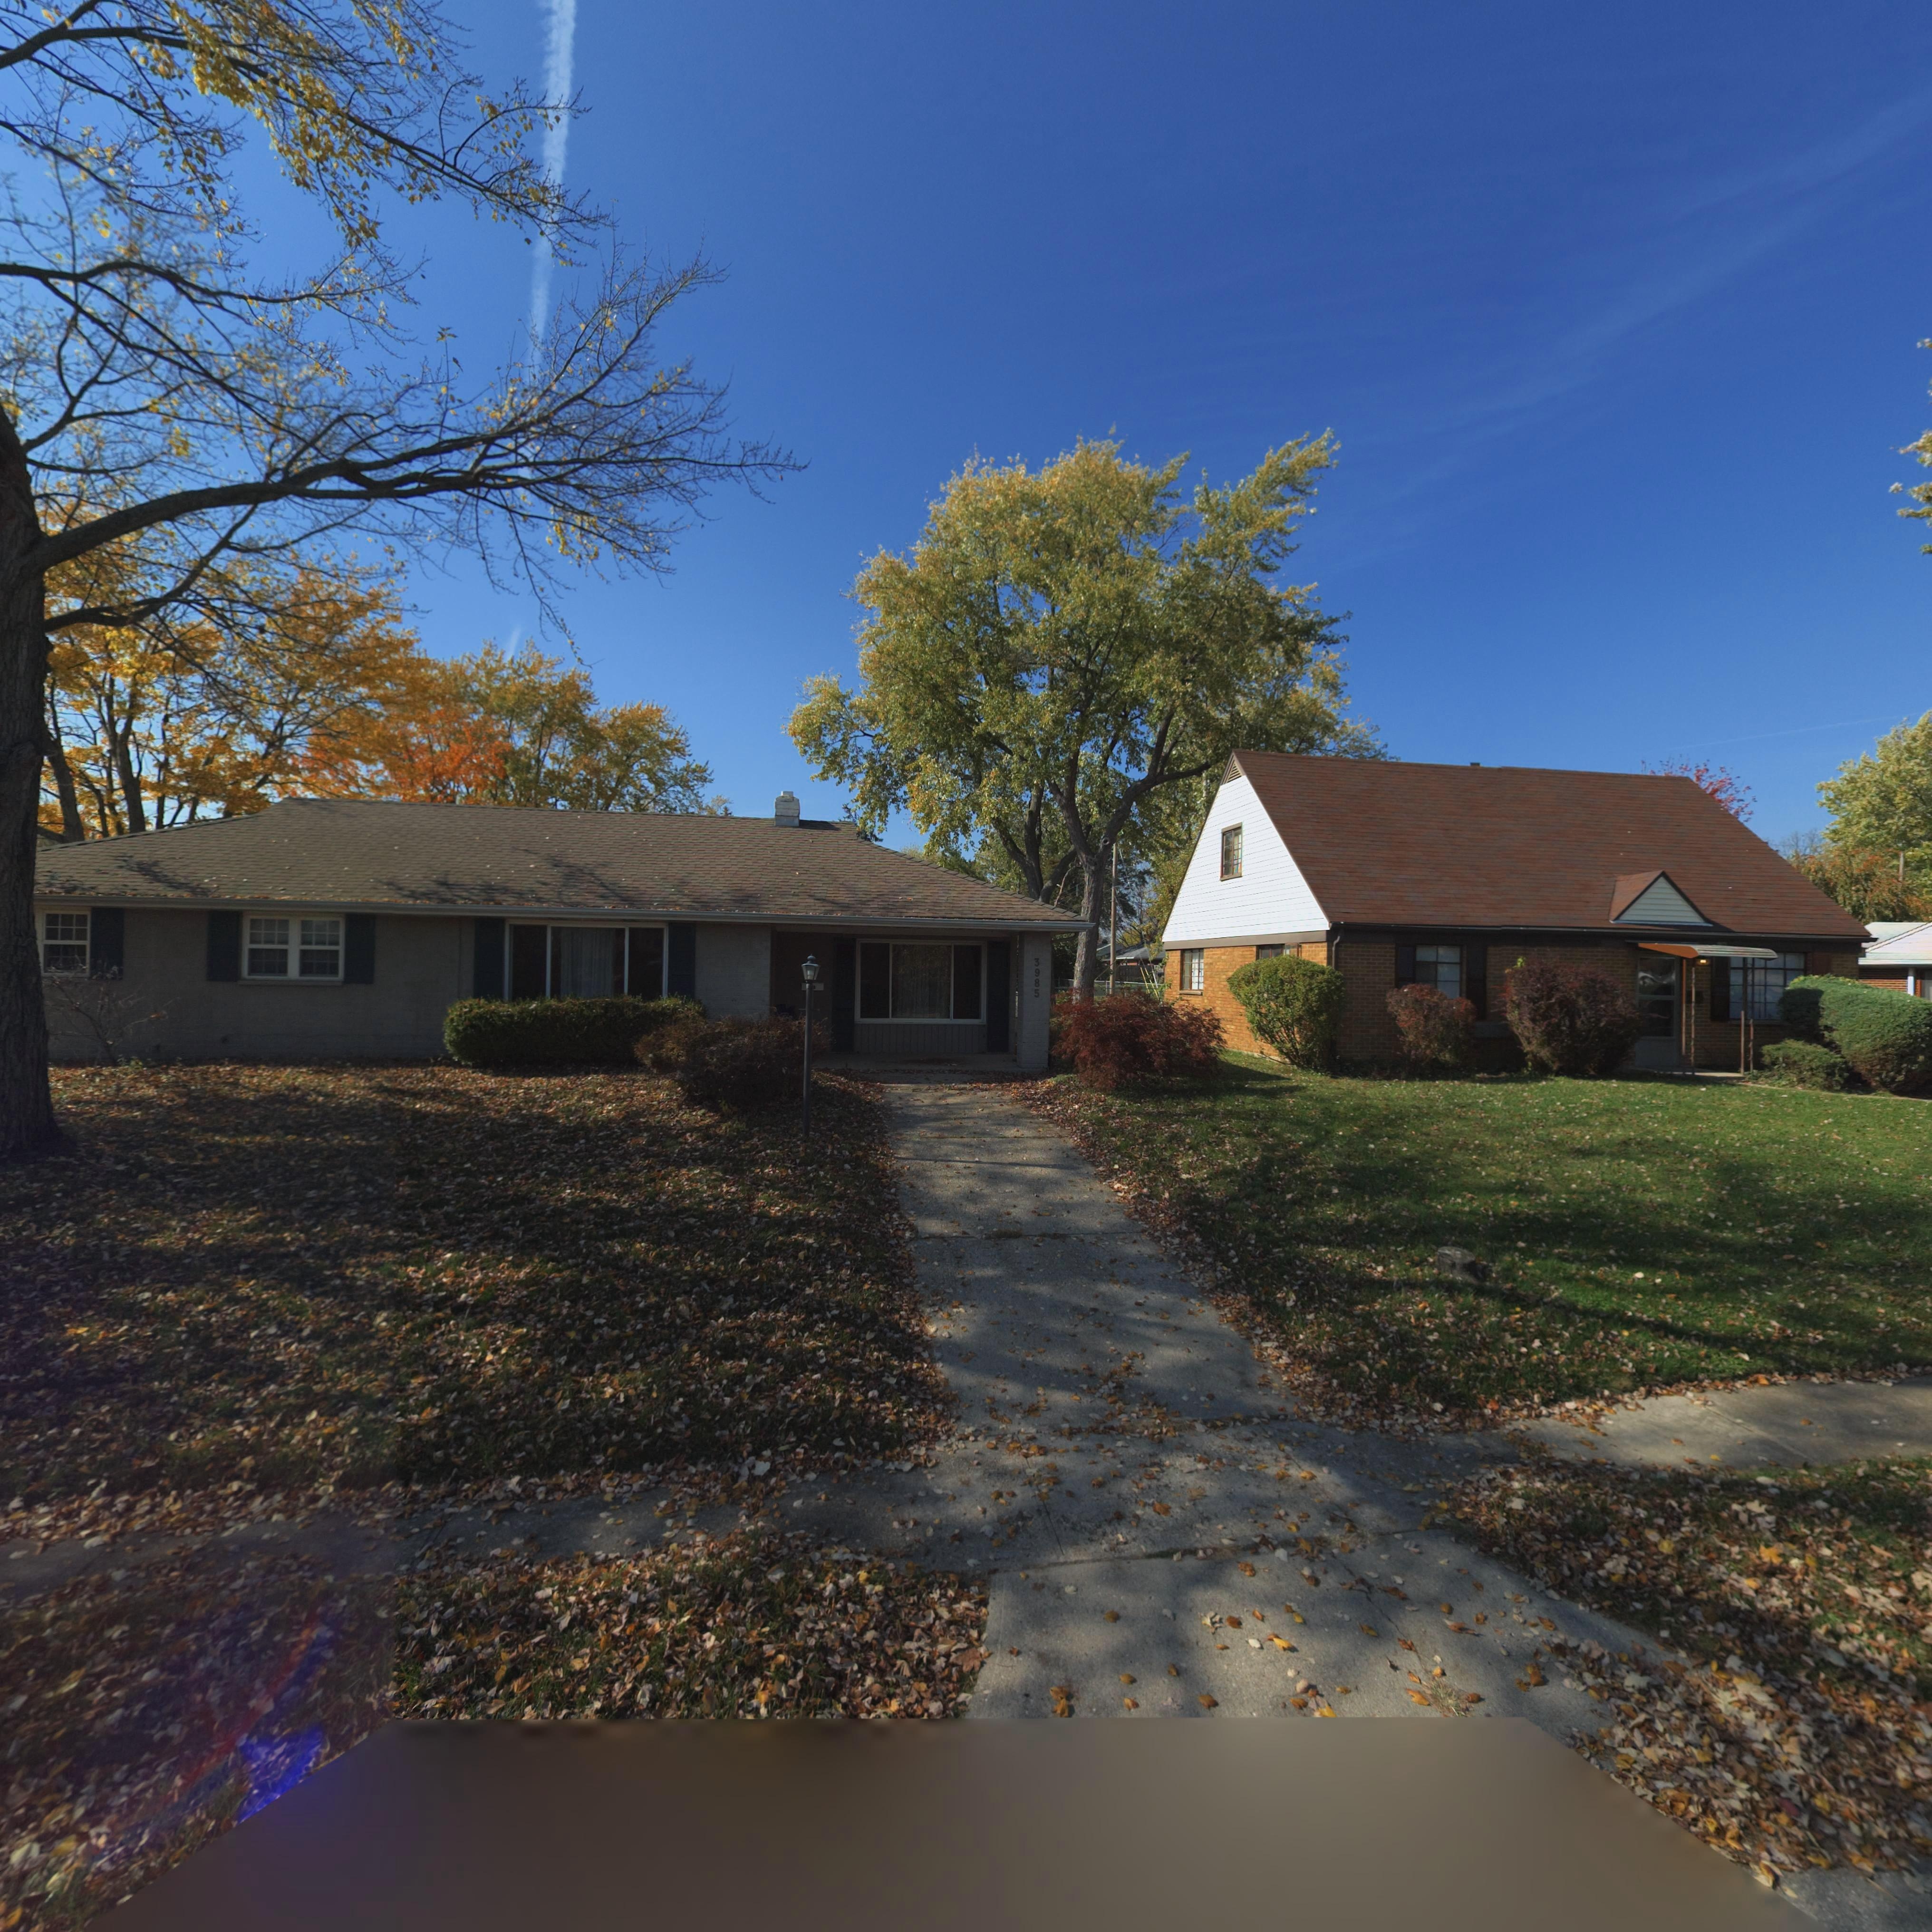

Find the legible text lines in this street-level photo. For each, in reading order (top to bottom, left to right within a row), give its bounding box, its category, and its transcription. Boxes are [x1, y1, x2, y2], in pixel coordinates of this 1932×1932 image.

[1033, 956, 1041, 999] StreetNumber: 3985